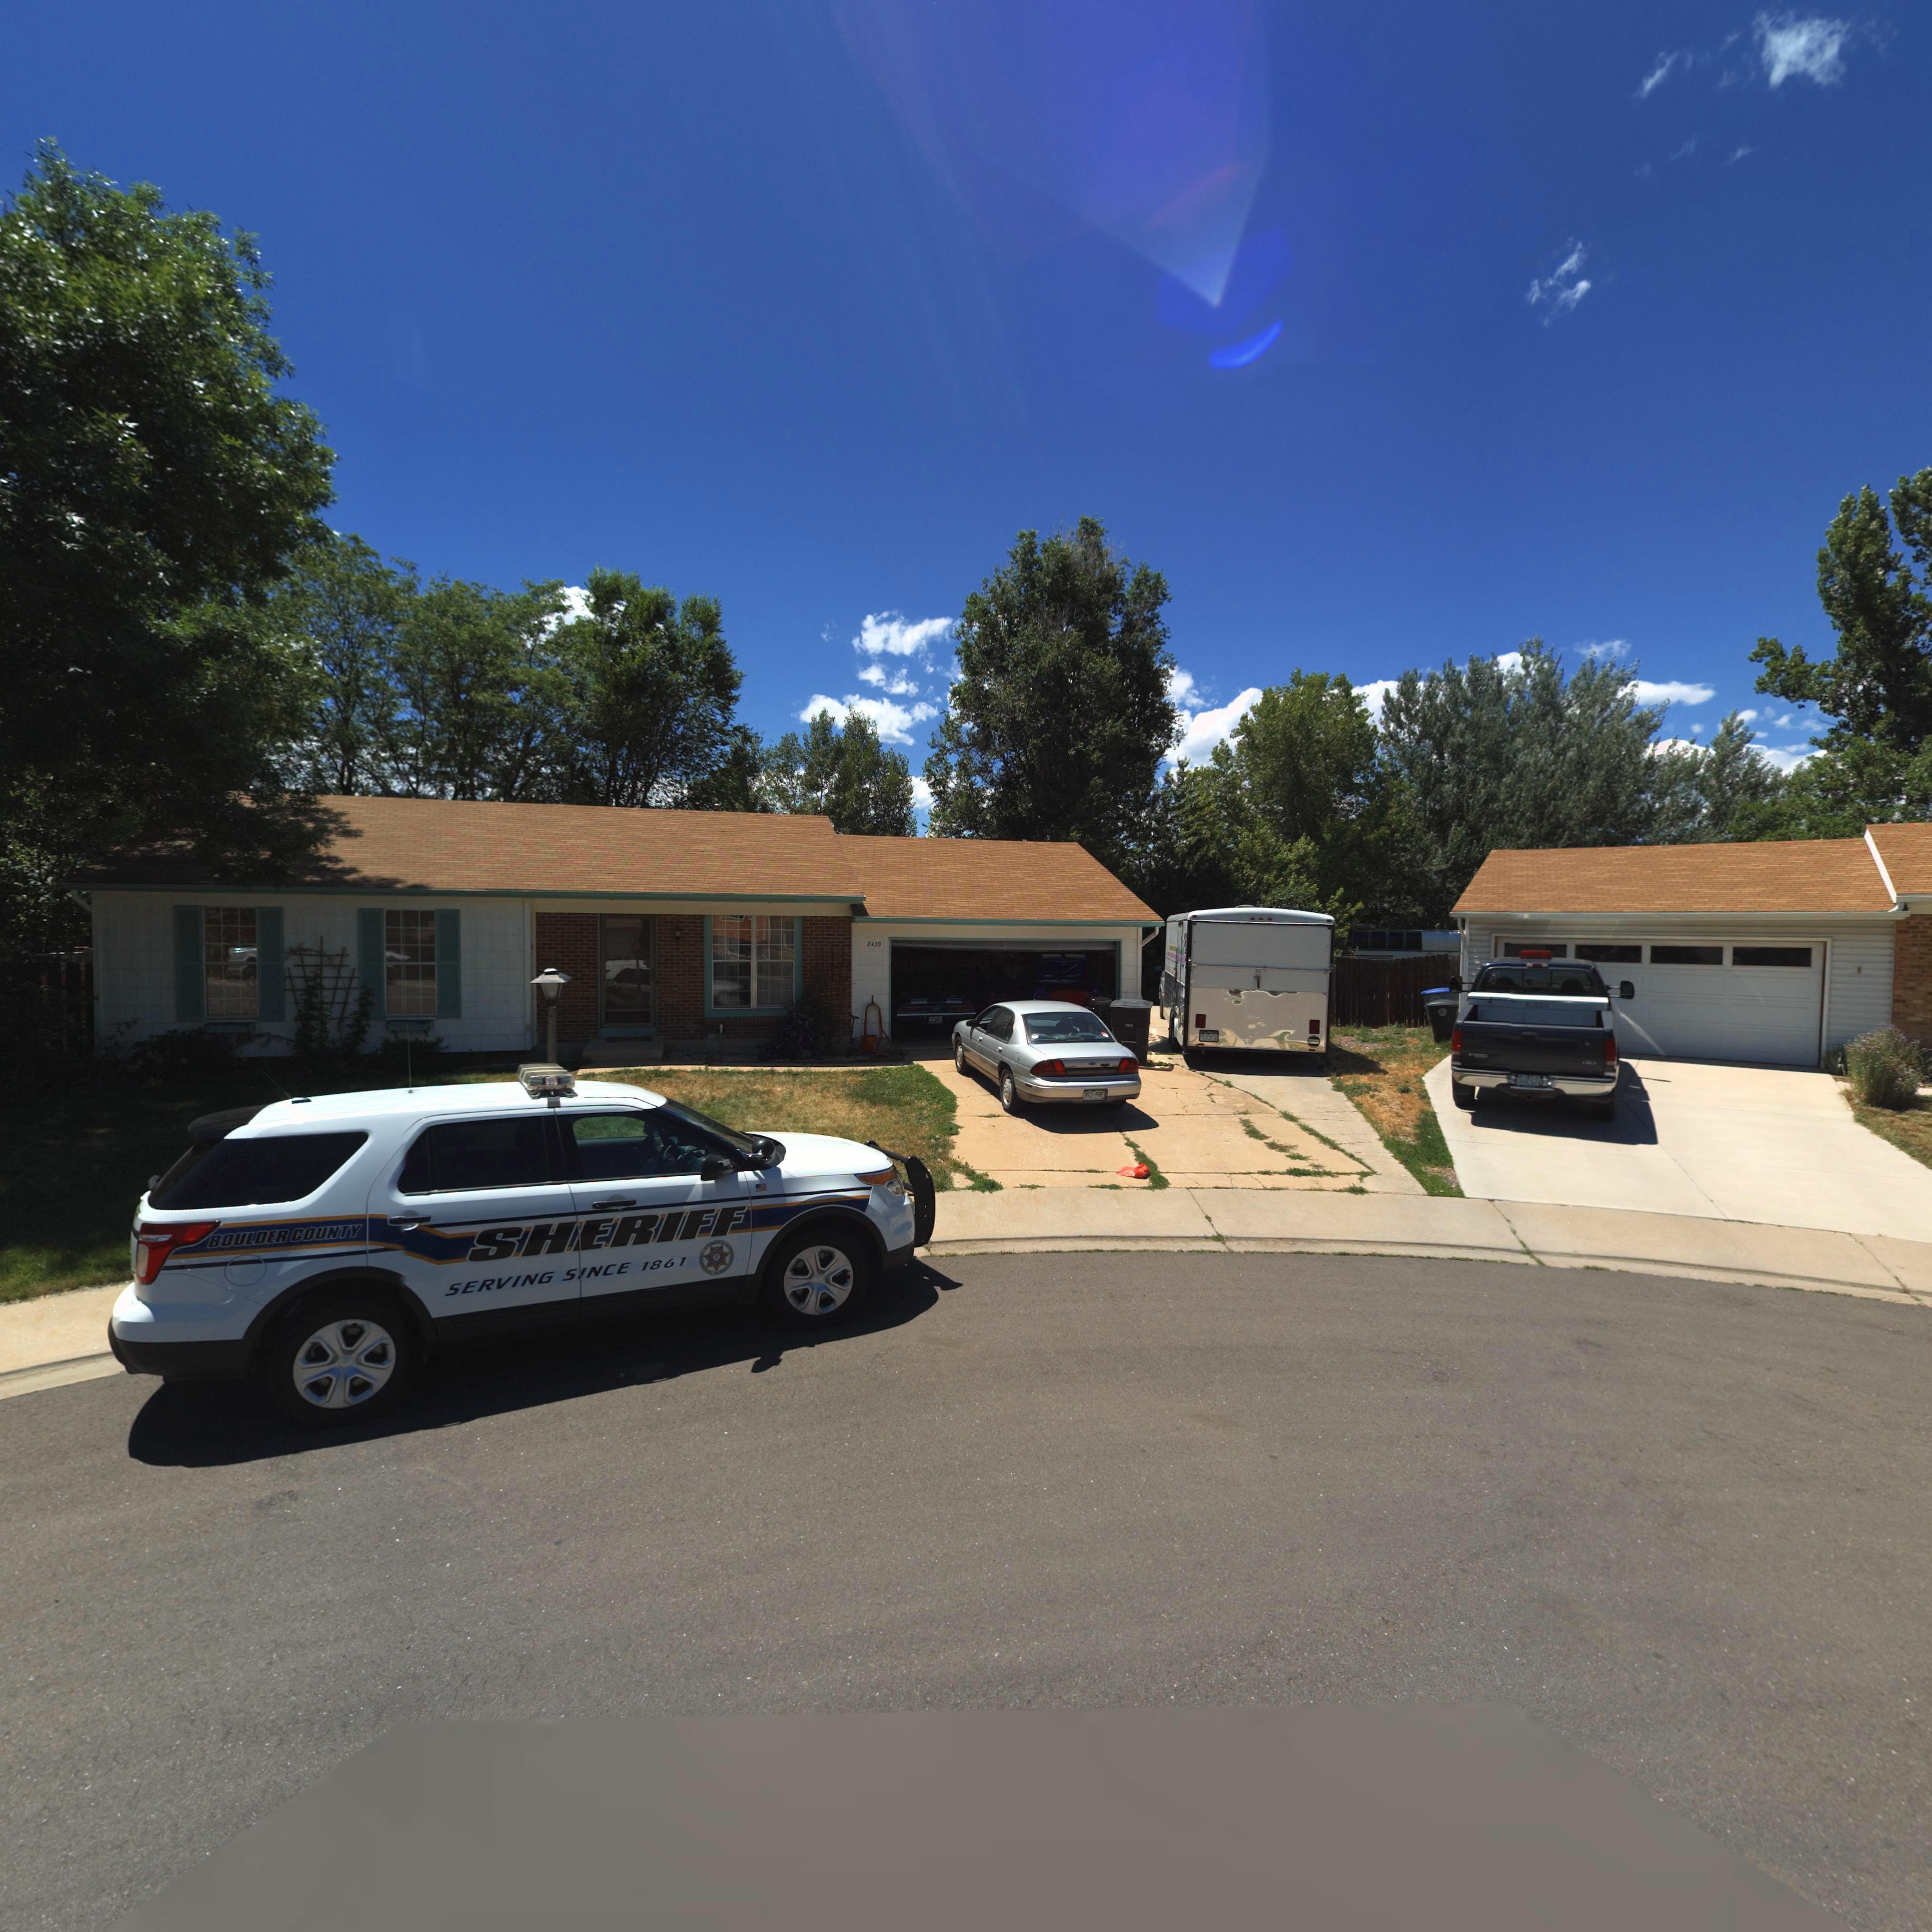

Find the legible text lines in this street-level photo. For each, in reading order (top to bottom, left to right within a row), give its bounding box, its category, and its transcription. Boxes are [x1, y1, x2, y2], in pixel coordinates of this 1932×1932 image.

[867, 941, 881, 947] StreetNumber: 2439